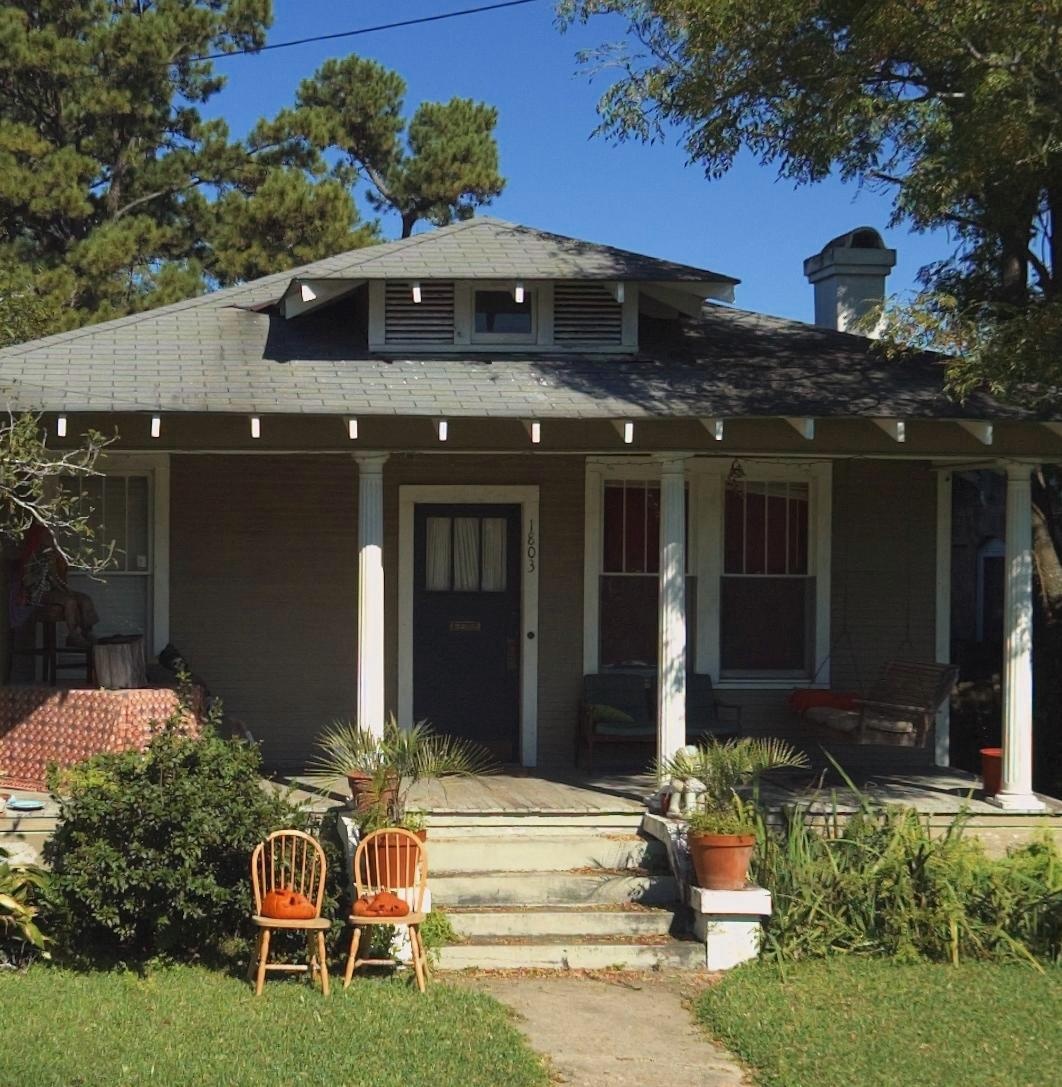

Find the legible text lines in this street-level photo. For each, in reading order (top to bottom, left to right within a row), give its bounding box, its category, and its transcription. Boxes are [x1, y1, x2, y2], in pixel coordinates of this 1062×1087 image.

[525, 517, 538, 576] StreetNumber: 1803